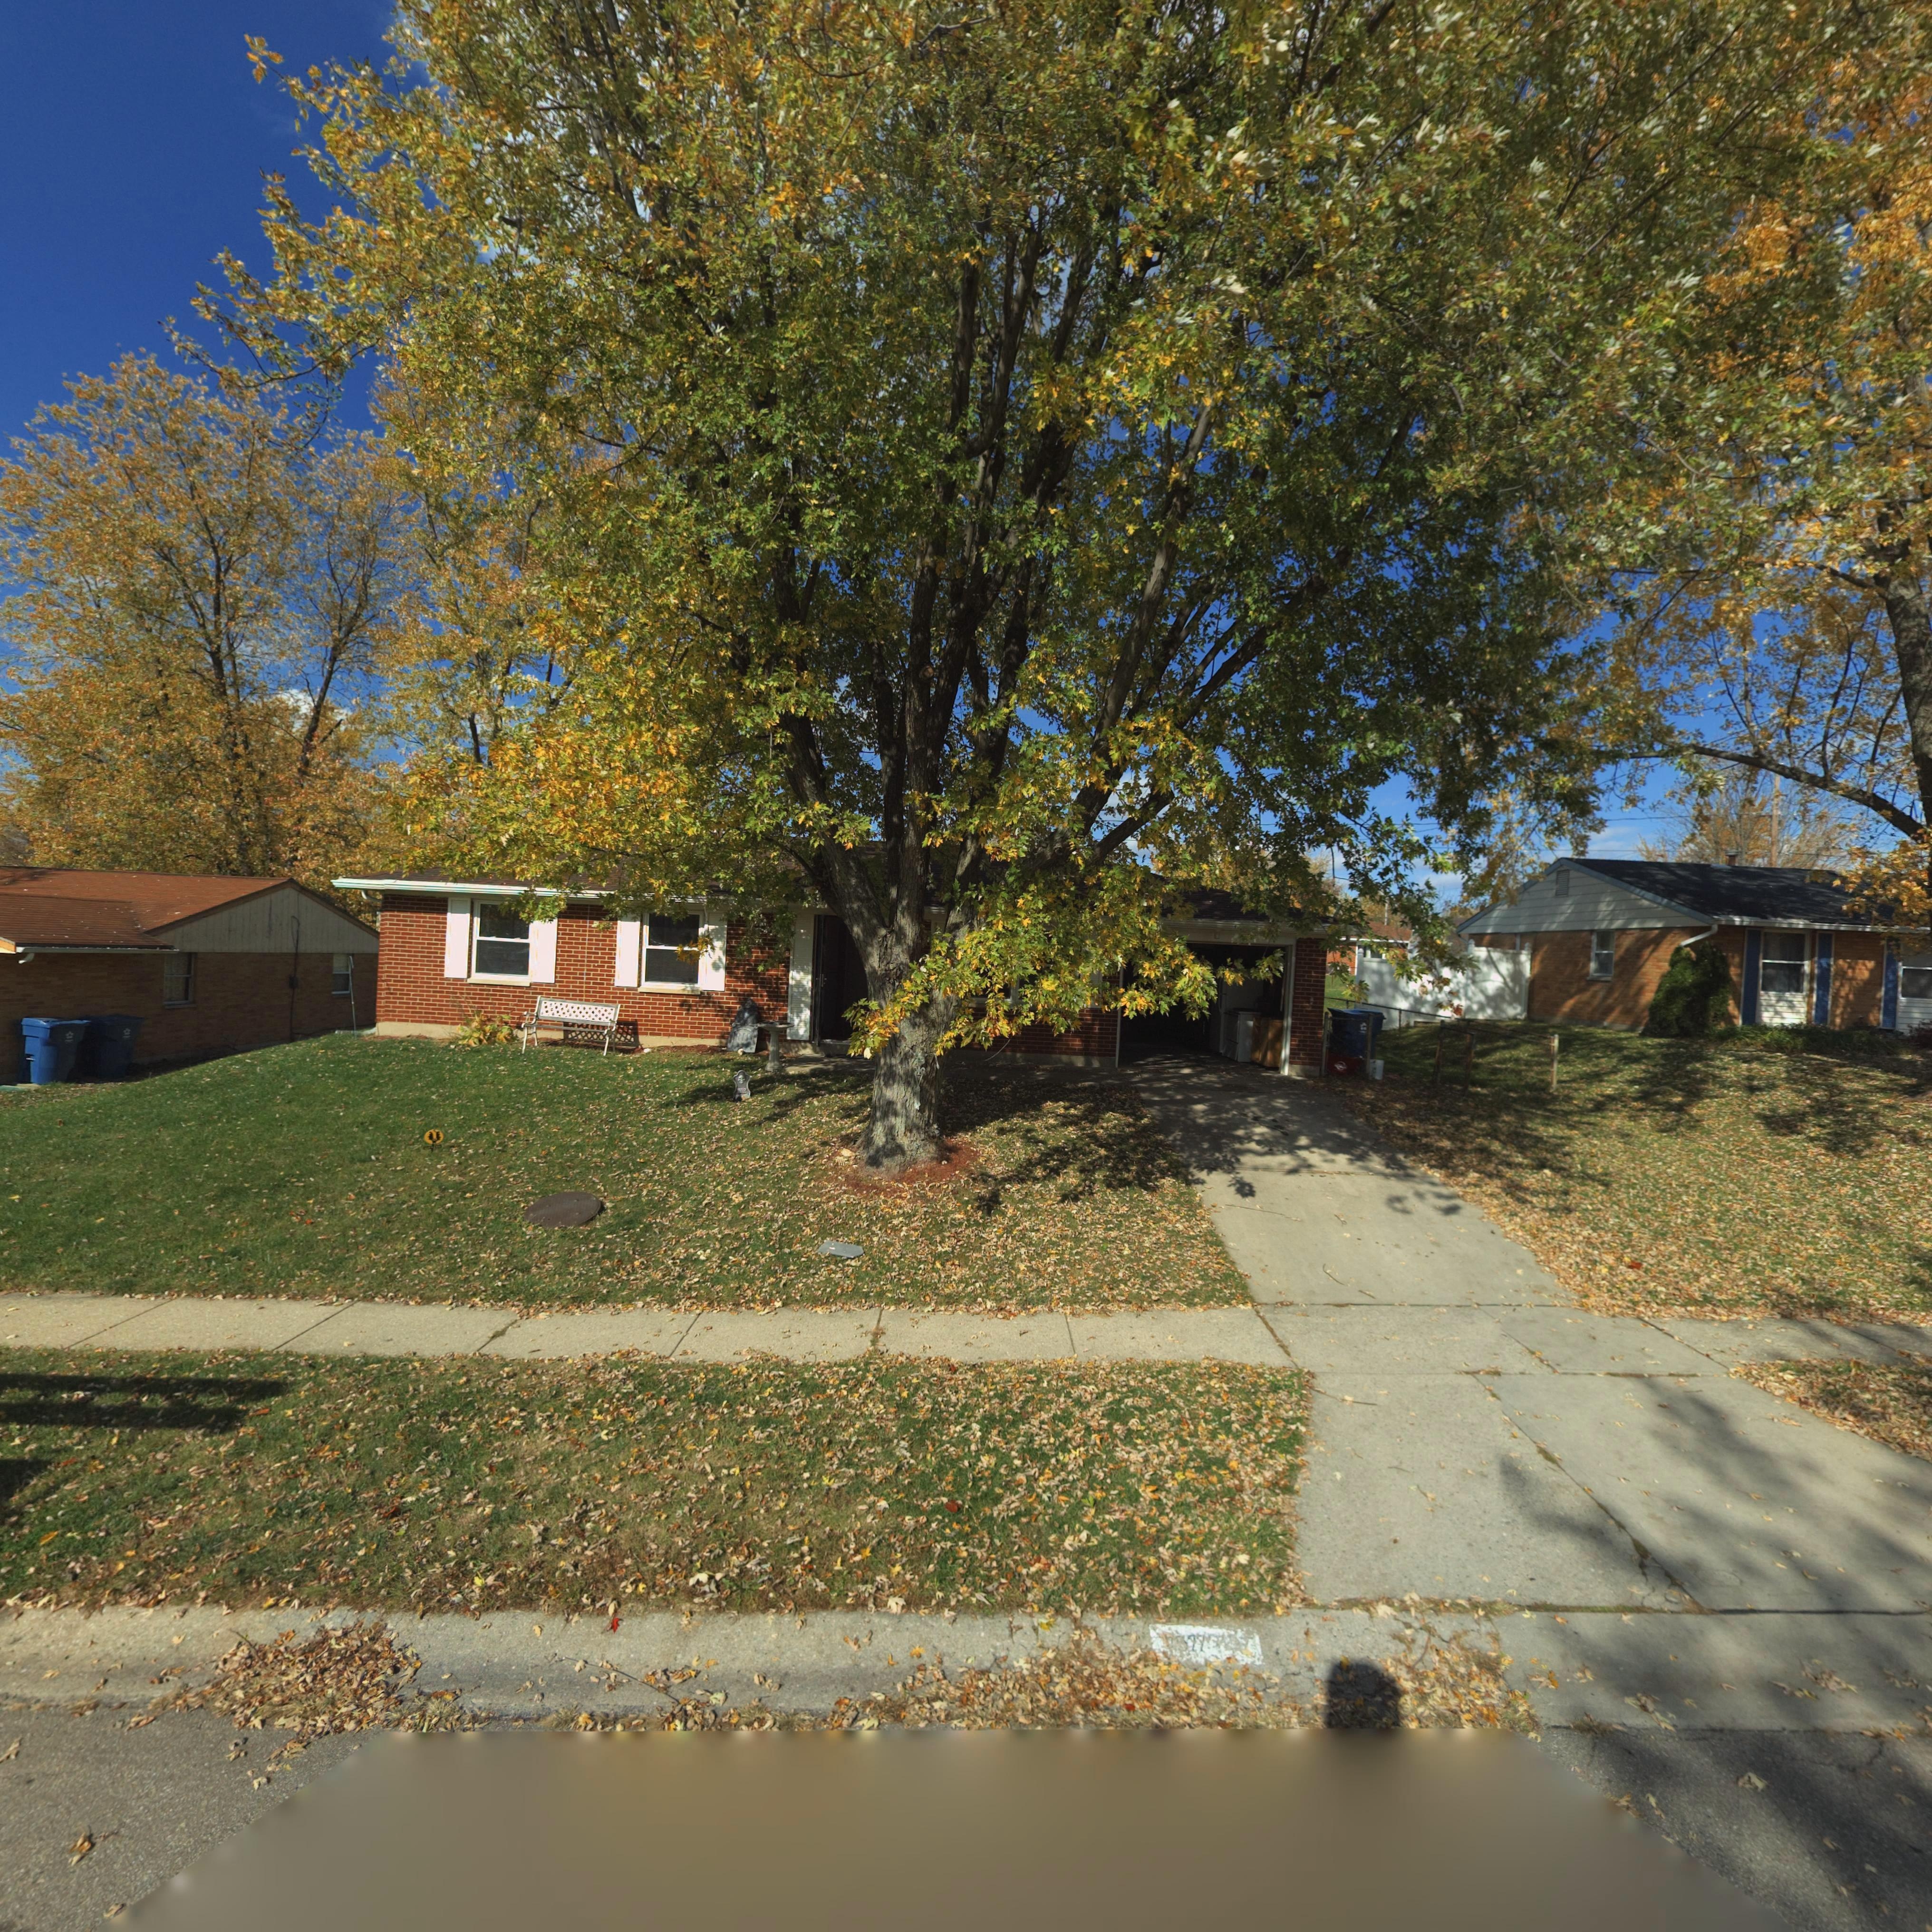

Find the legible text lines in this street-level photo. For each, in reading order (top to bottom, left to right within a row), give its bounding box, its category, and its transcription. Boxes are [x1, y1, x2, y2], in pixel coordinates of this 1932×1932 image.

[1164, 1633, 1207, 1653] StreetNumber: 7577